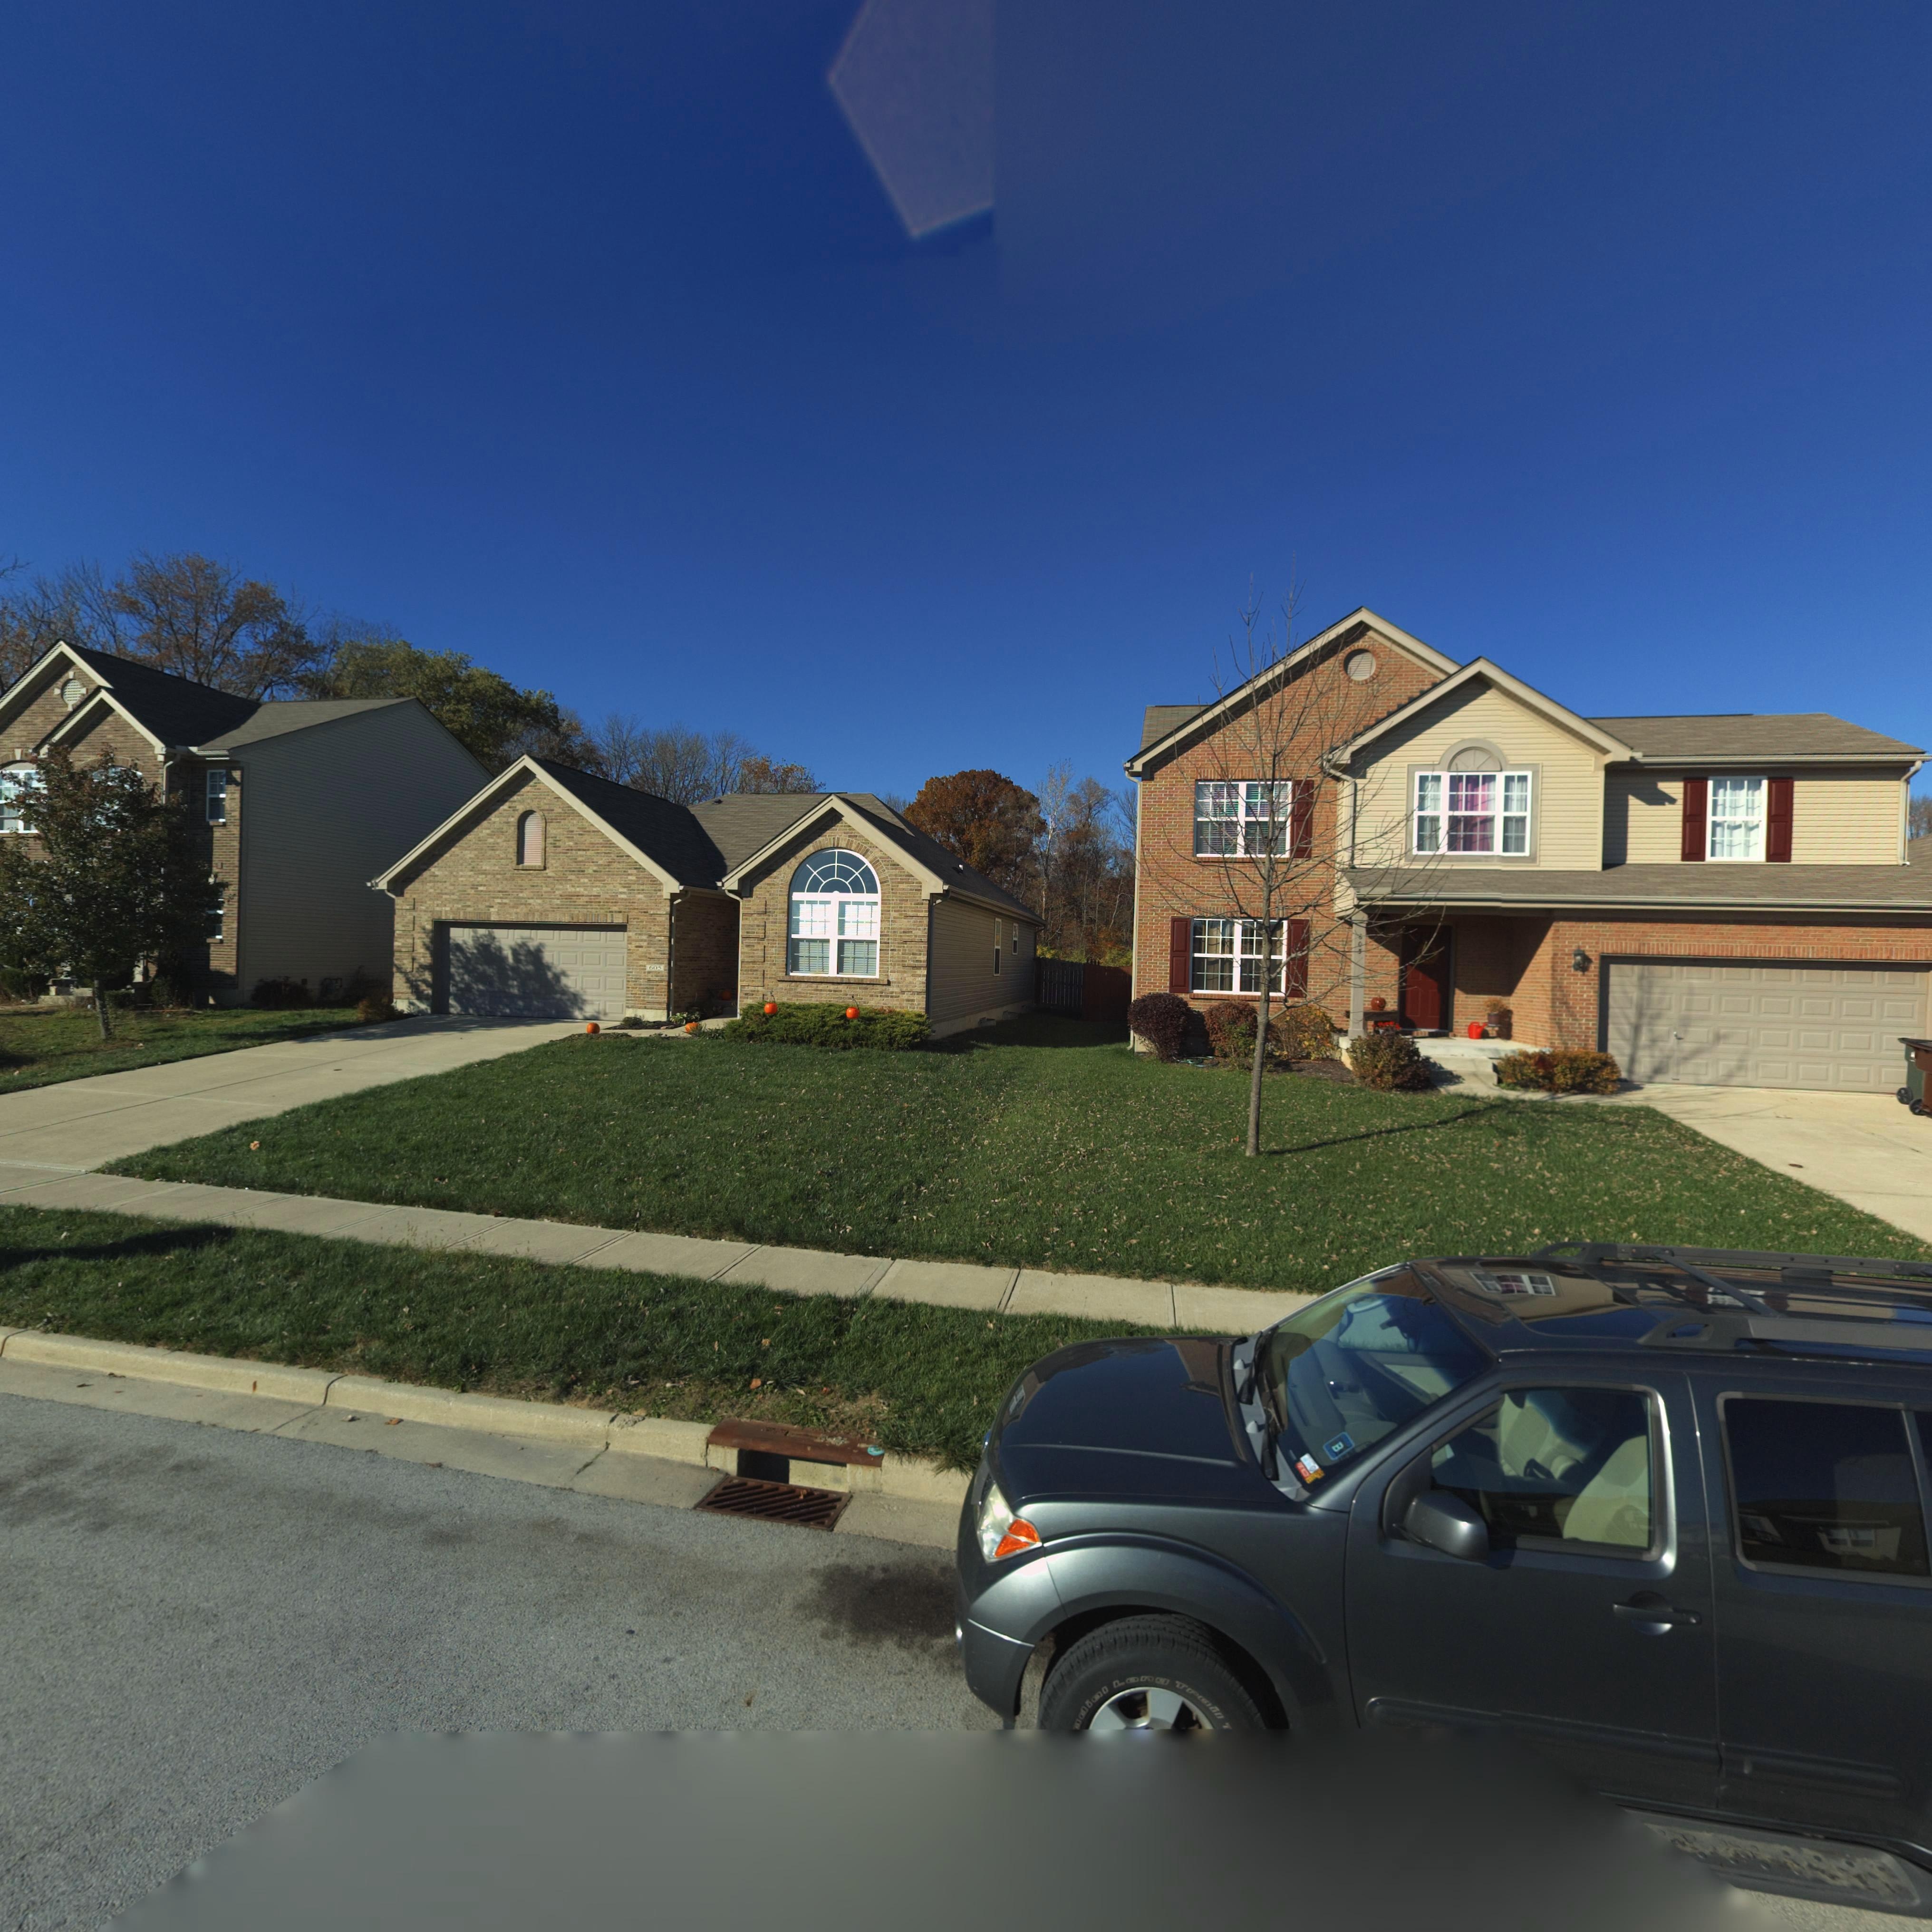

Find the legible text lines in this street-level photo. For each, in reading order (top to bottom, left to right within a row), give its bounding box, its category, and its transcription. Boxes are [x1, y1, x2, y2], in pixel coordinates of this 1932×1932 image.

[1357, 933, 1363, 955] StreetNumber: 603
[648, 965, 662, 971] StreetNumber: 605